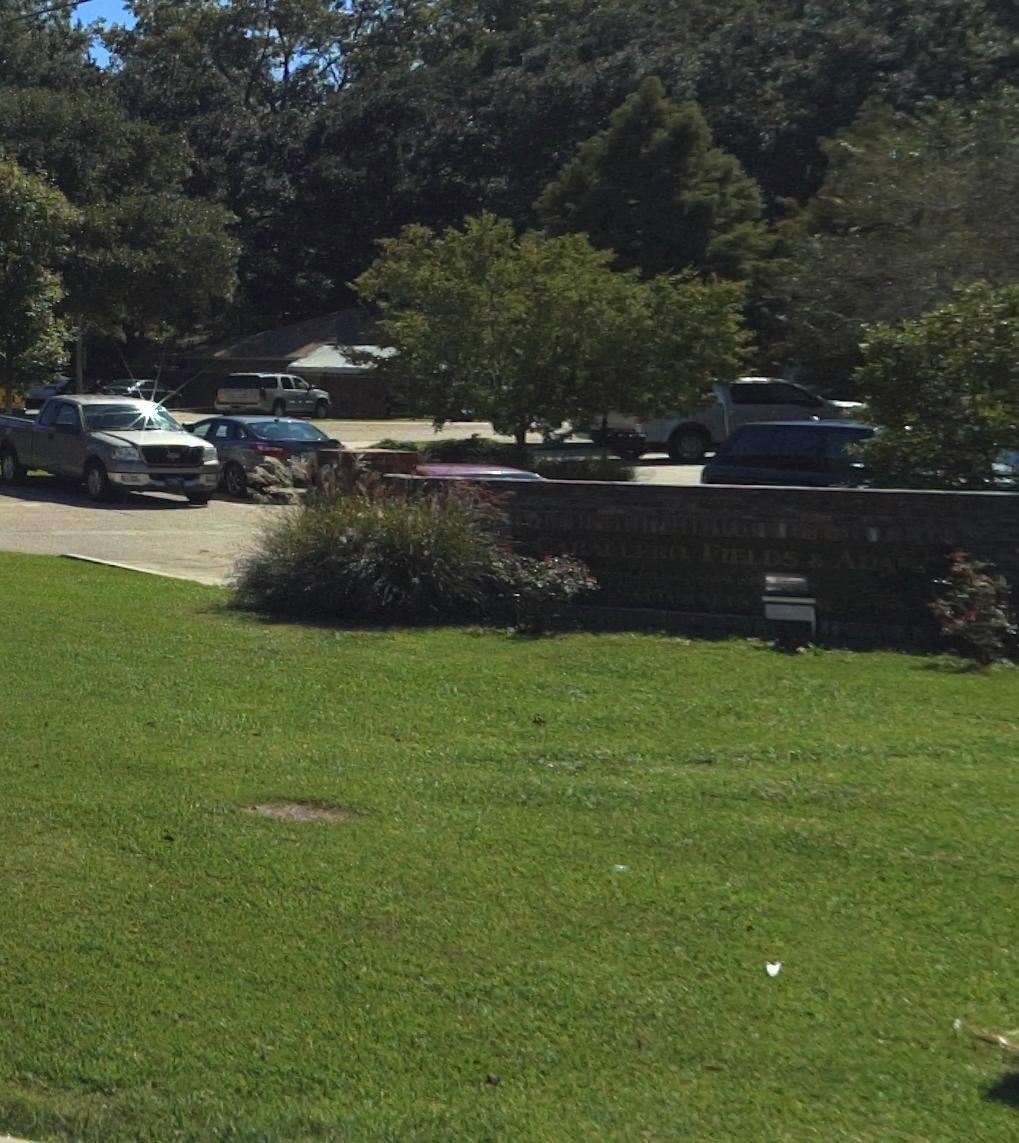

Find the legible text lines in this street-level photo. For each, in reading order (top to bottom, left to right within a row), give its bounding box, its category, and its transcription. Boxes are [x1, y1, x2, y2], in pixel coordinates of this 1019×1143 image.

[531, 531, 928, 577] BusinessName: CA**LLERO, FIELDS & ADA**